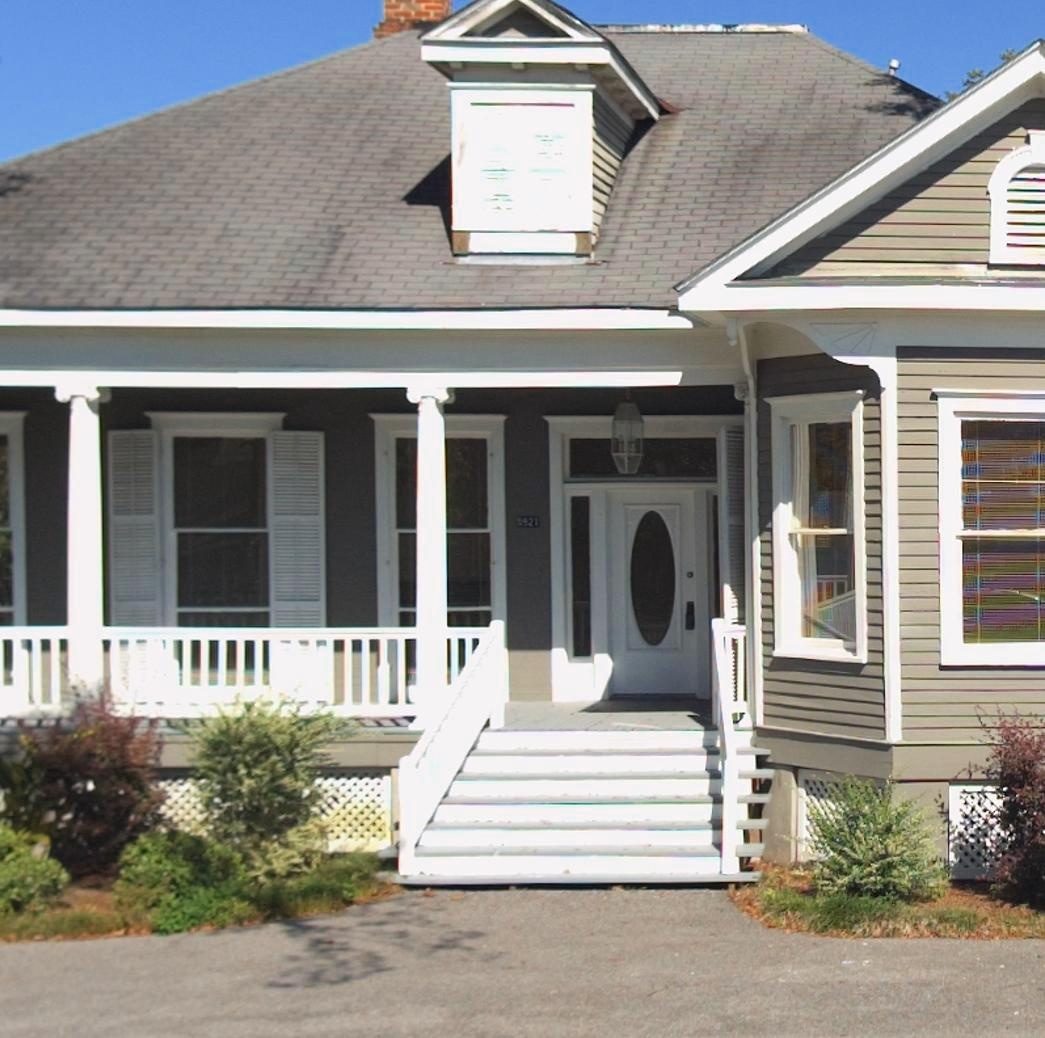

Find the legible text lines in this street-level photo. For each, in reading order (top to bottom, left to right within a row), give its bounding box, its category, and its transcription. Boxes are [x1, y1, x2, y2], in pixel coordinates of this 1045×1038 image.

[516, 515, 541, 529] StreetNumber: 5921